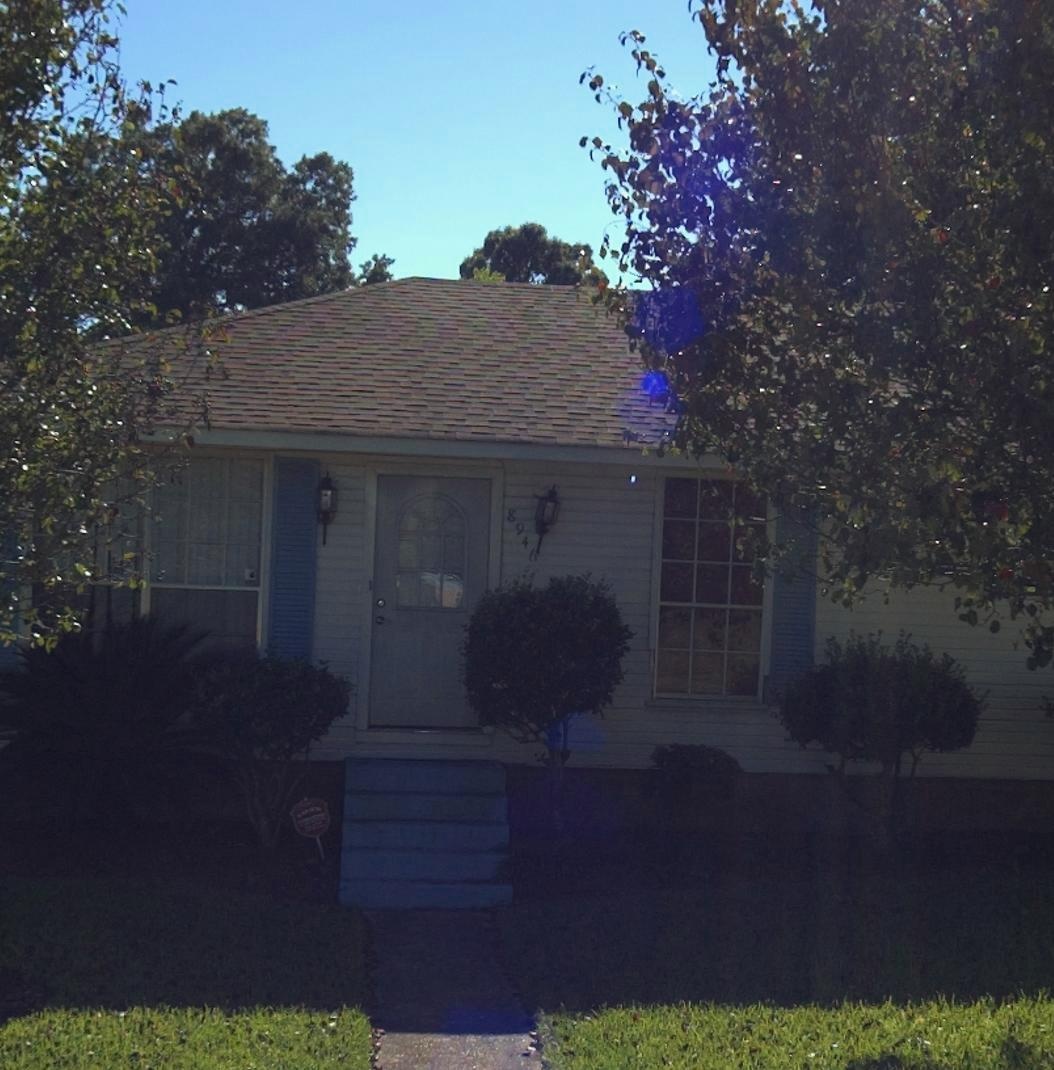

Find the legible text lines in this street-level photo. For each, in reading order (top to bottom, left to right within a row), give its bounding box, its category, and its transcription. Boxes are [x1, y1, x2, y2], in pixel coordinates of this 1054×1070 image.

[507, 508, 539, 571] StreetNumber: 8946